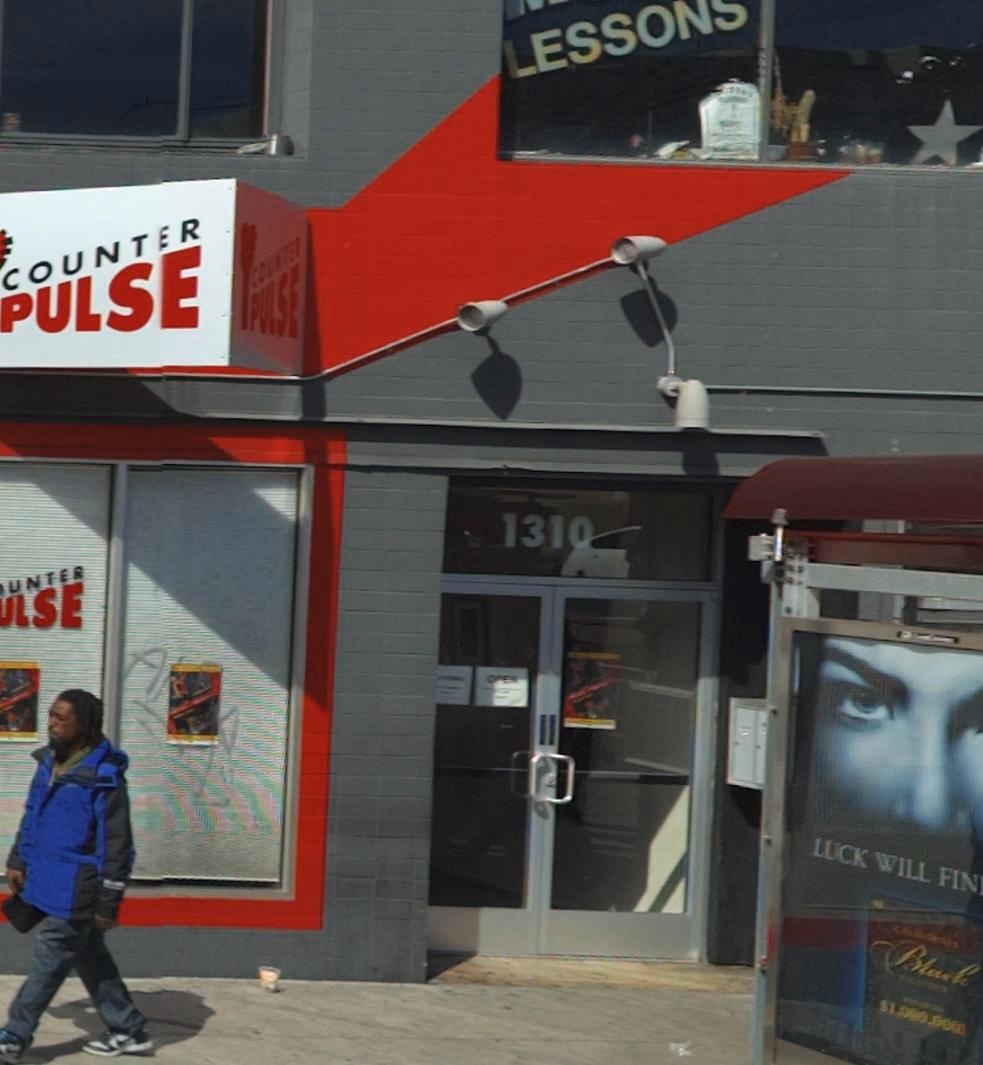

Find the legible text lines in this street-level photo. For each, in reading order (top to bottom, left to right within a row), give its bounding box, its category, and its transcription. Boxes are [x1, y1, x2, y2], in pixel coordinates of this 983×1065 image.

[494, 2, 681, 87] None: LESSO
[0, 212, 206, 297] BusinessName: COUNTER
[1, 237, 207, 335] BusinessName: PULSE
[249, 237, 297, 295] BusinessName: COU&TE
[246, 256, 303, 343] BusinessName: PULSE
[499, 507, 597, 554] StreetNumber: 1310
[6, 561, 88, 600] BusinessName: UNTER
[13, 574, 87, 636] BusinessName: LSE
[485, 673, 521, 687] None: OPEN
[807, 830, 982, 900] None: LUCK WILL FIN
[893, 938, 982, 994] None: Black
[875, 993, 970, 1038] None: $1,000,000